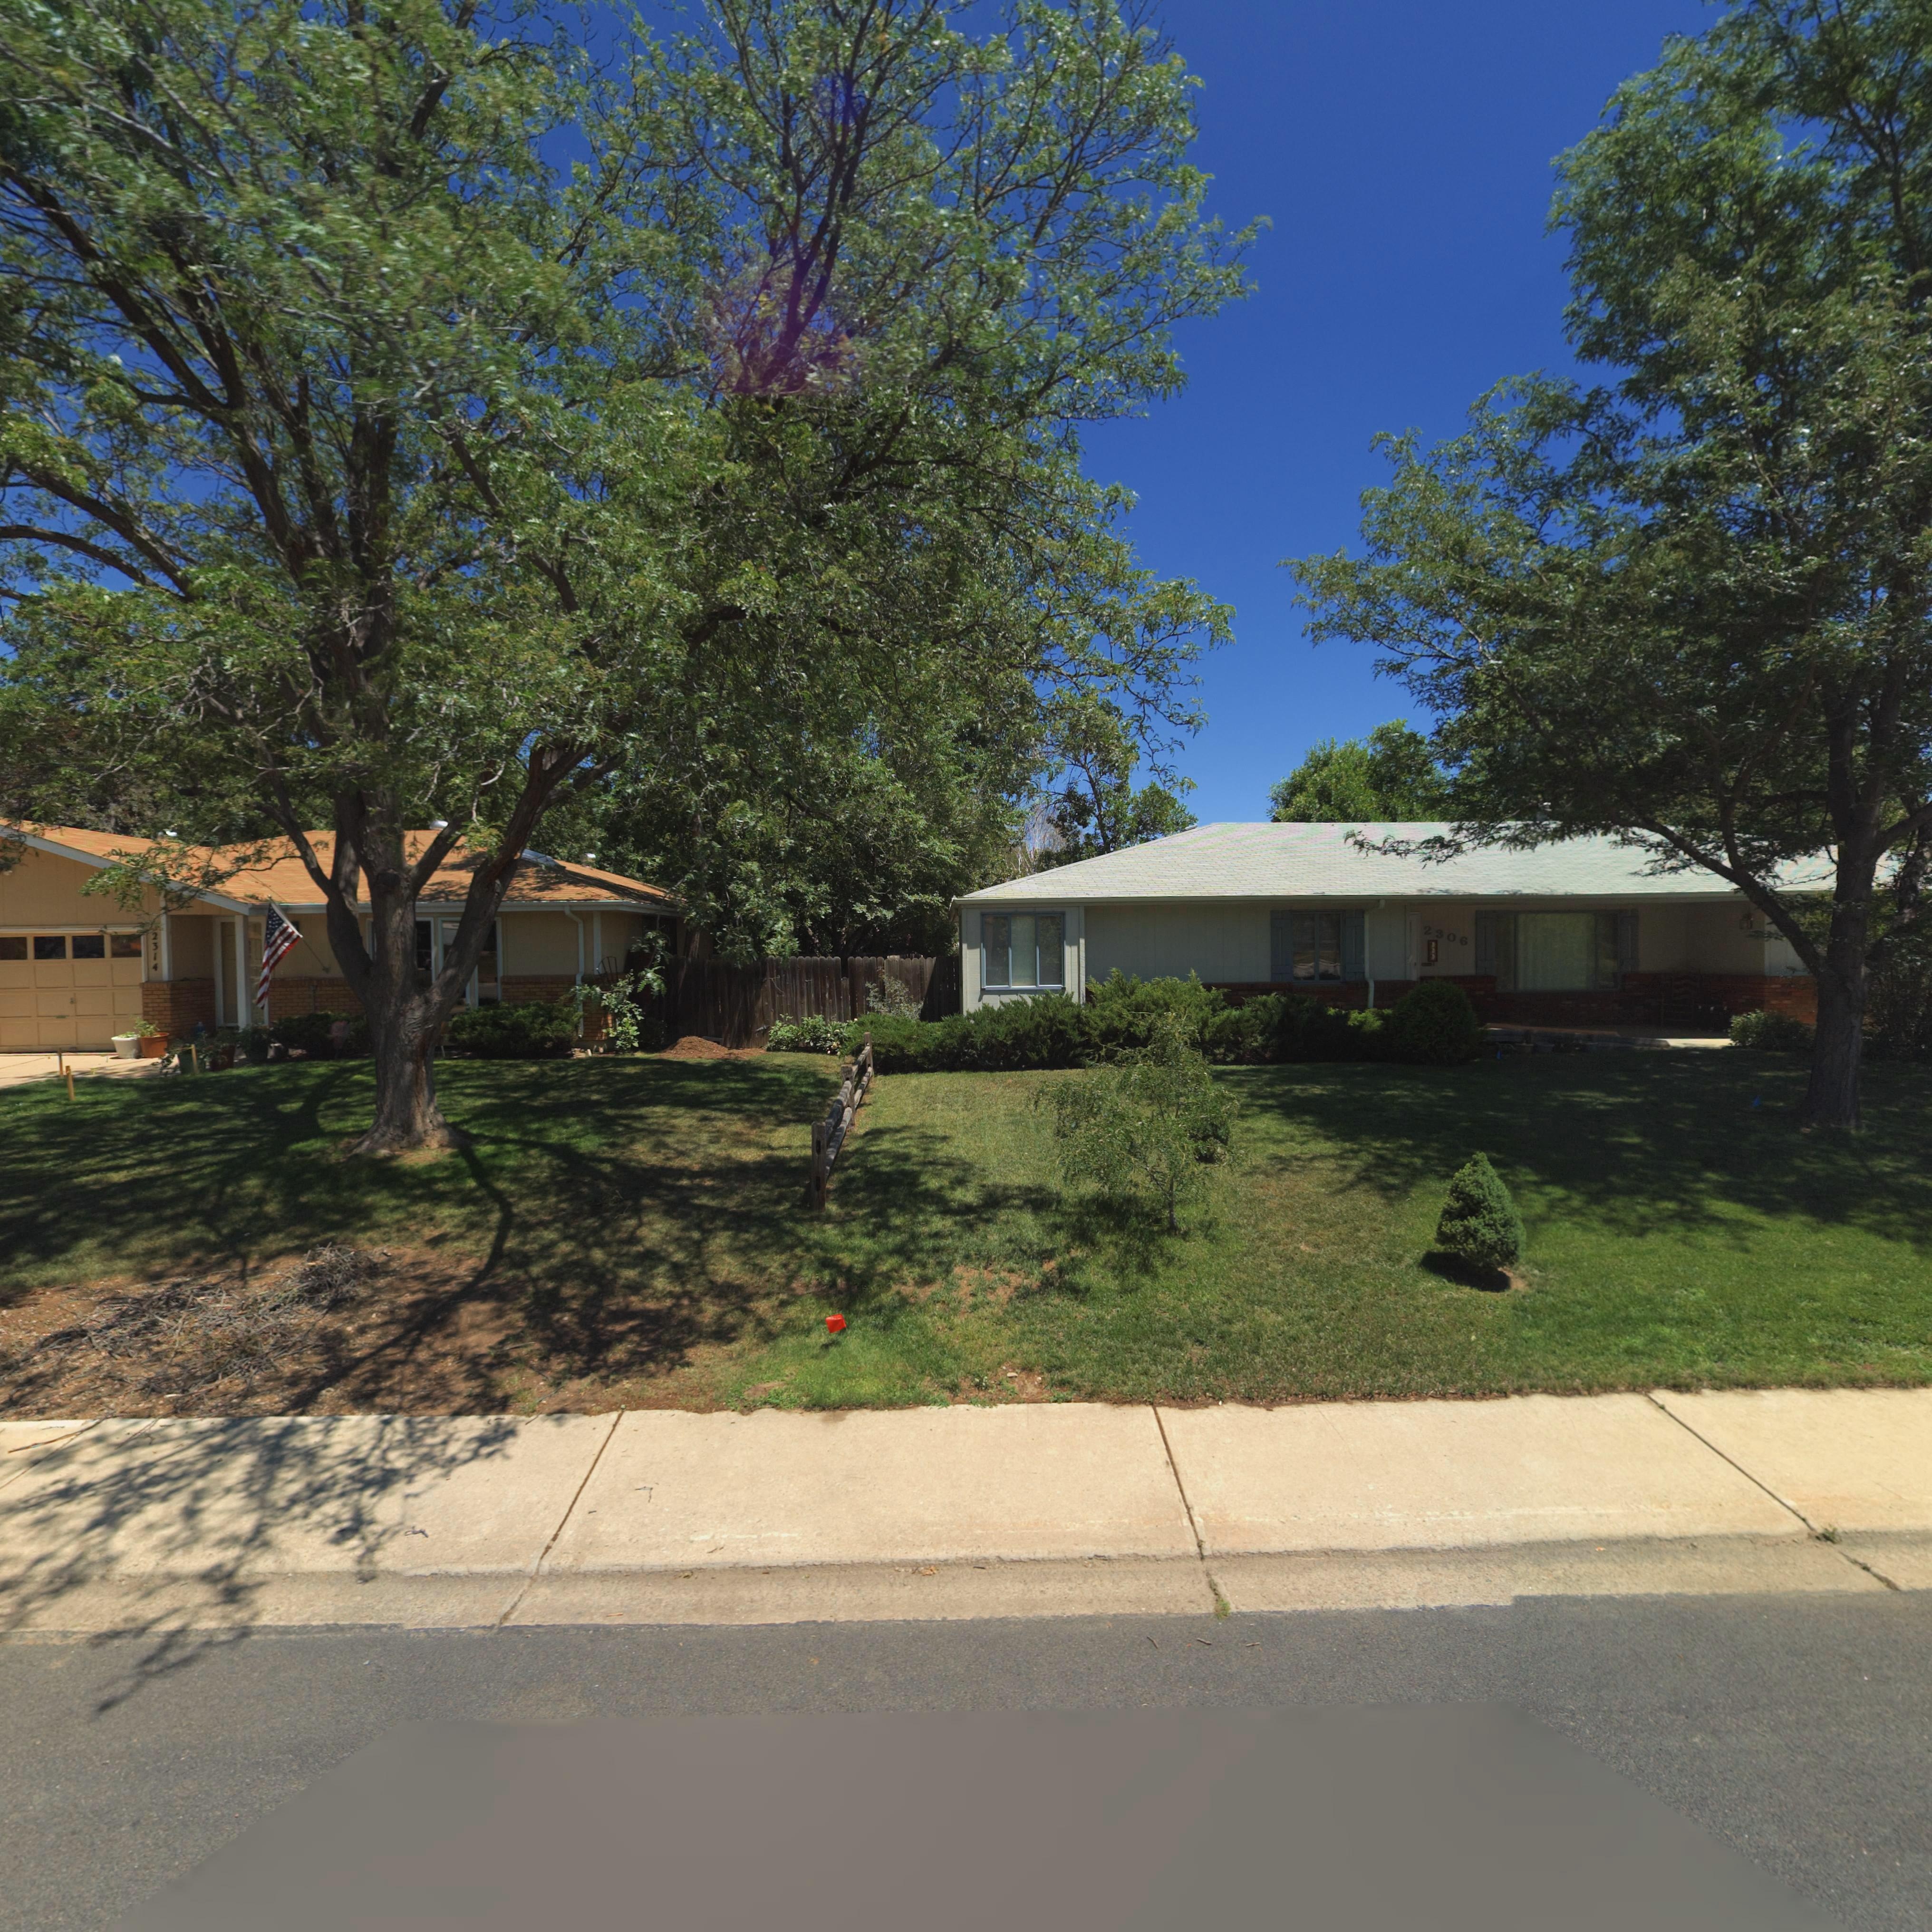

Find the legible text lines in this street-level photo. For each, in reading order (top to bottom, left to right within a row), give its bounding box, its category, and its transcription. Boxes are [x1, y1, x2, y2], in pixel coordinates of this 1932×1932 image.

[151, 931, 158, 971] StreetNumber: 2314
[1423, 925, 1468, 946] StreetNumber: 2306